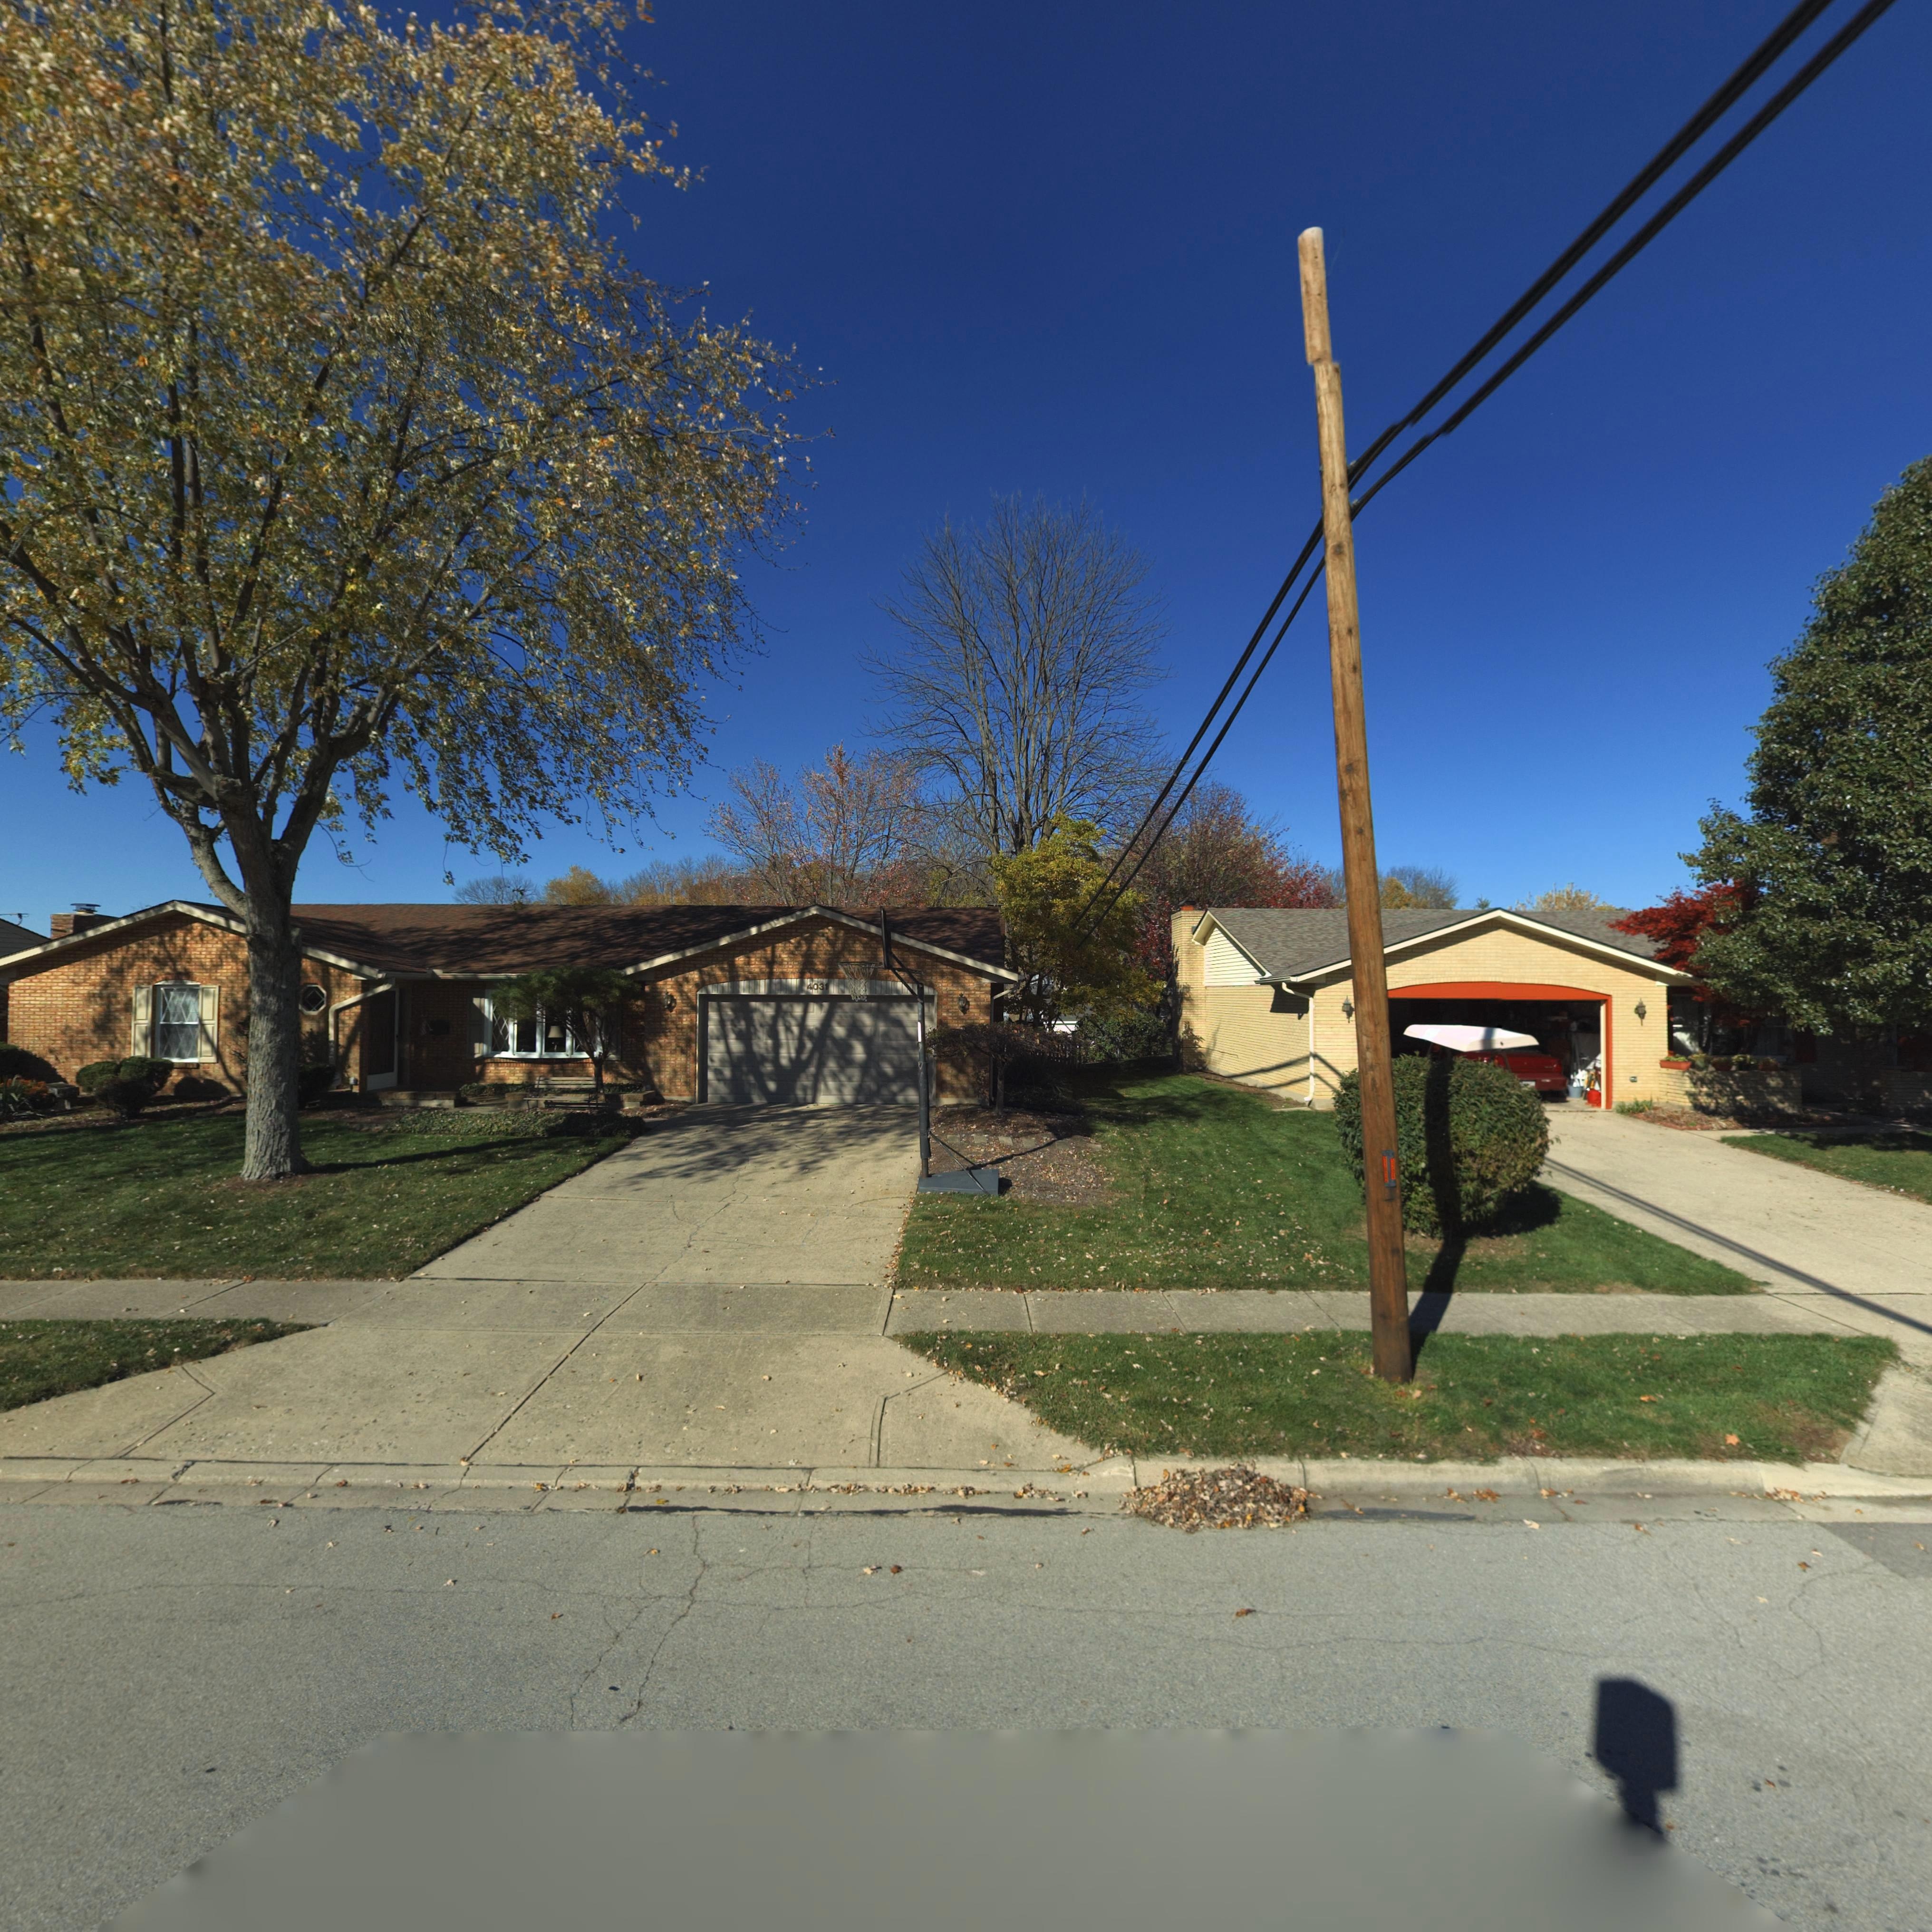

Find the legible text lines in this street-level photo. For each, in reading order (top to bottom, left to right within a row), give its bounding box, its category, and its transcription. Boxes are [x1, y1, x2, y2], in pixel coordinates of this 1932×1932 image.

[807, 982, 828, 990] StreetNumber: 4031